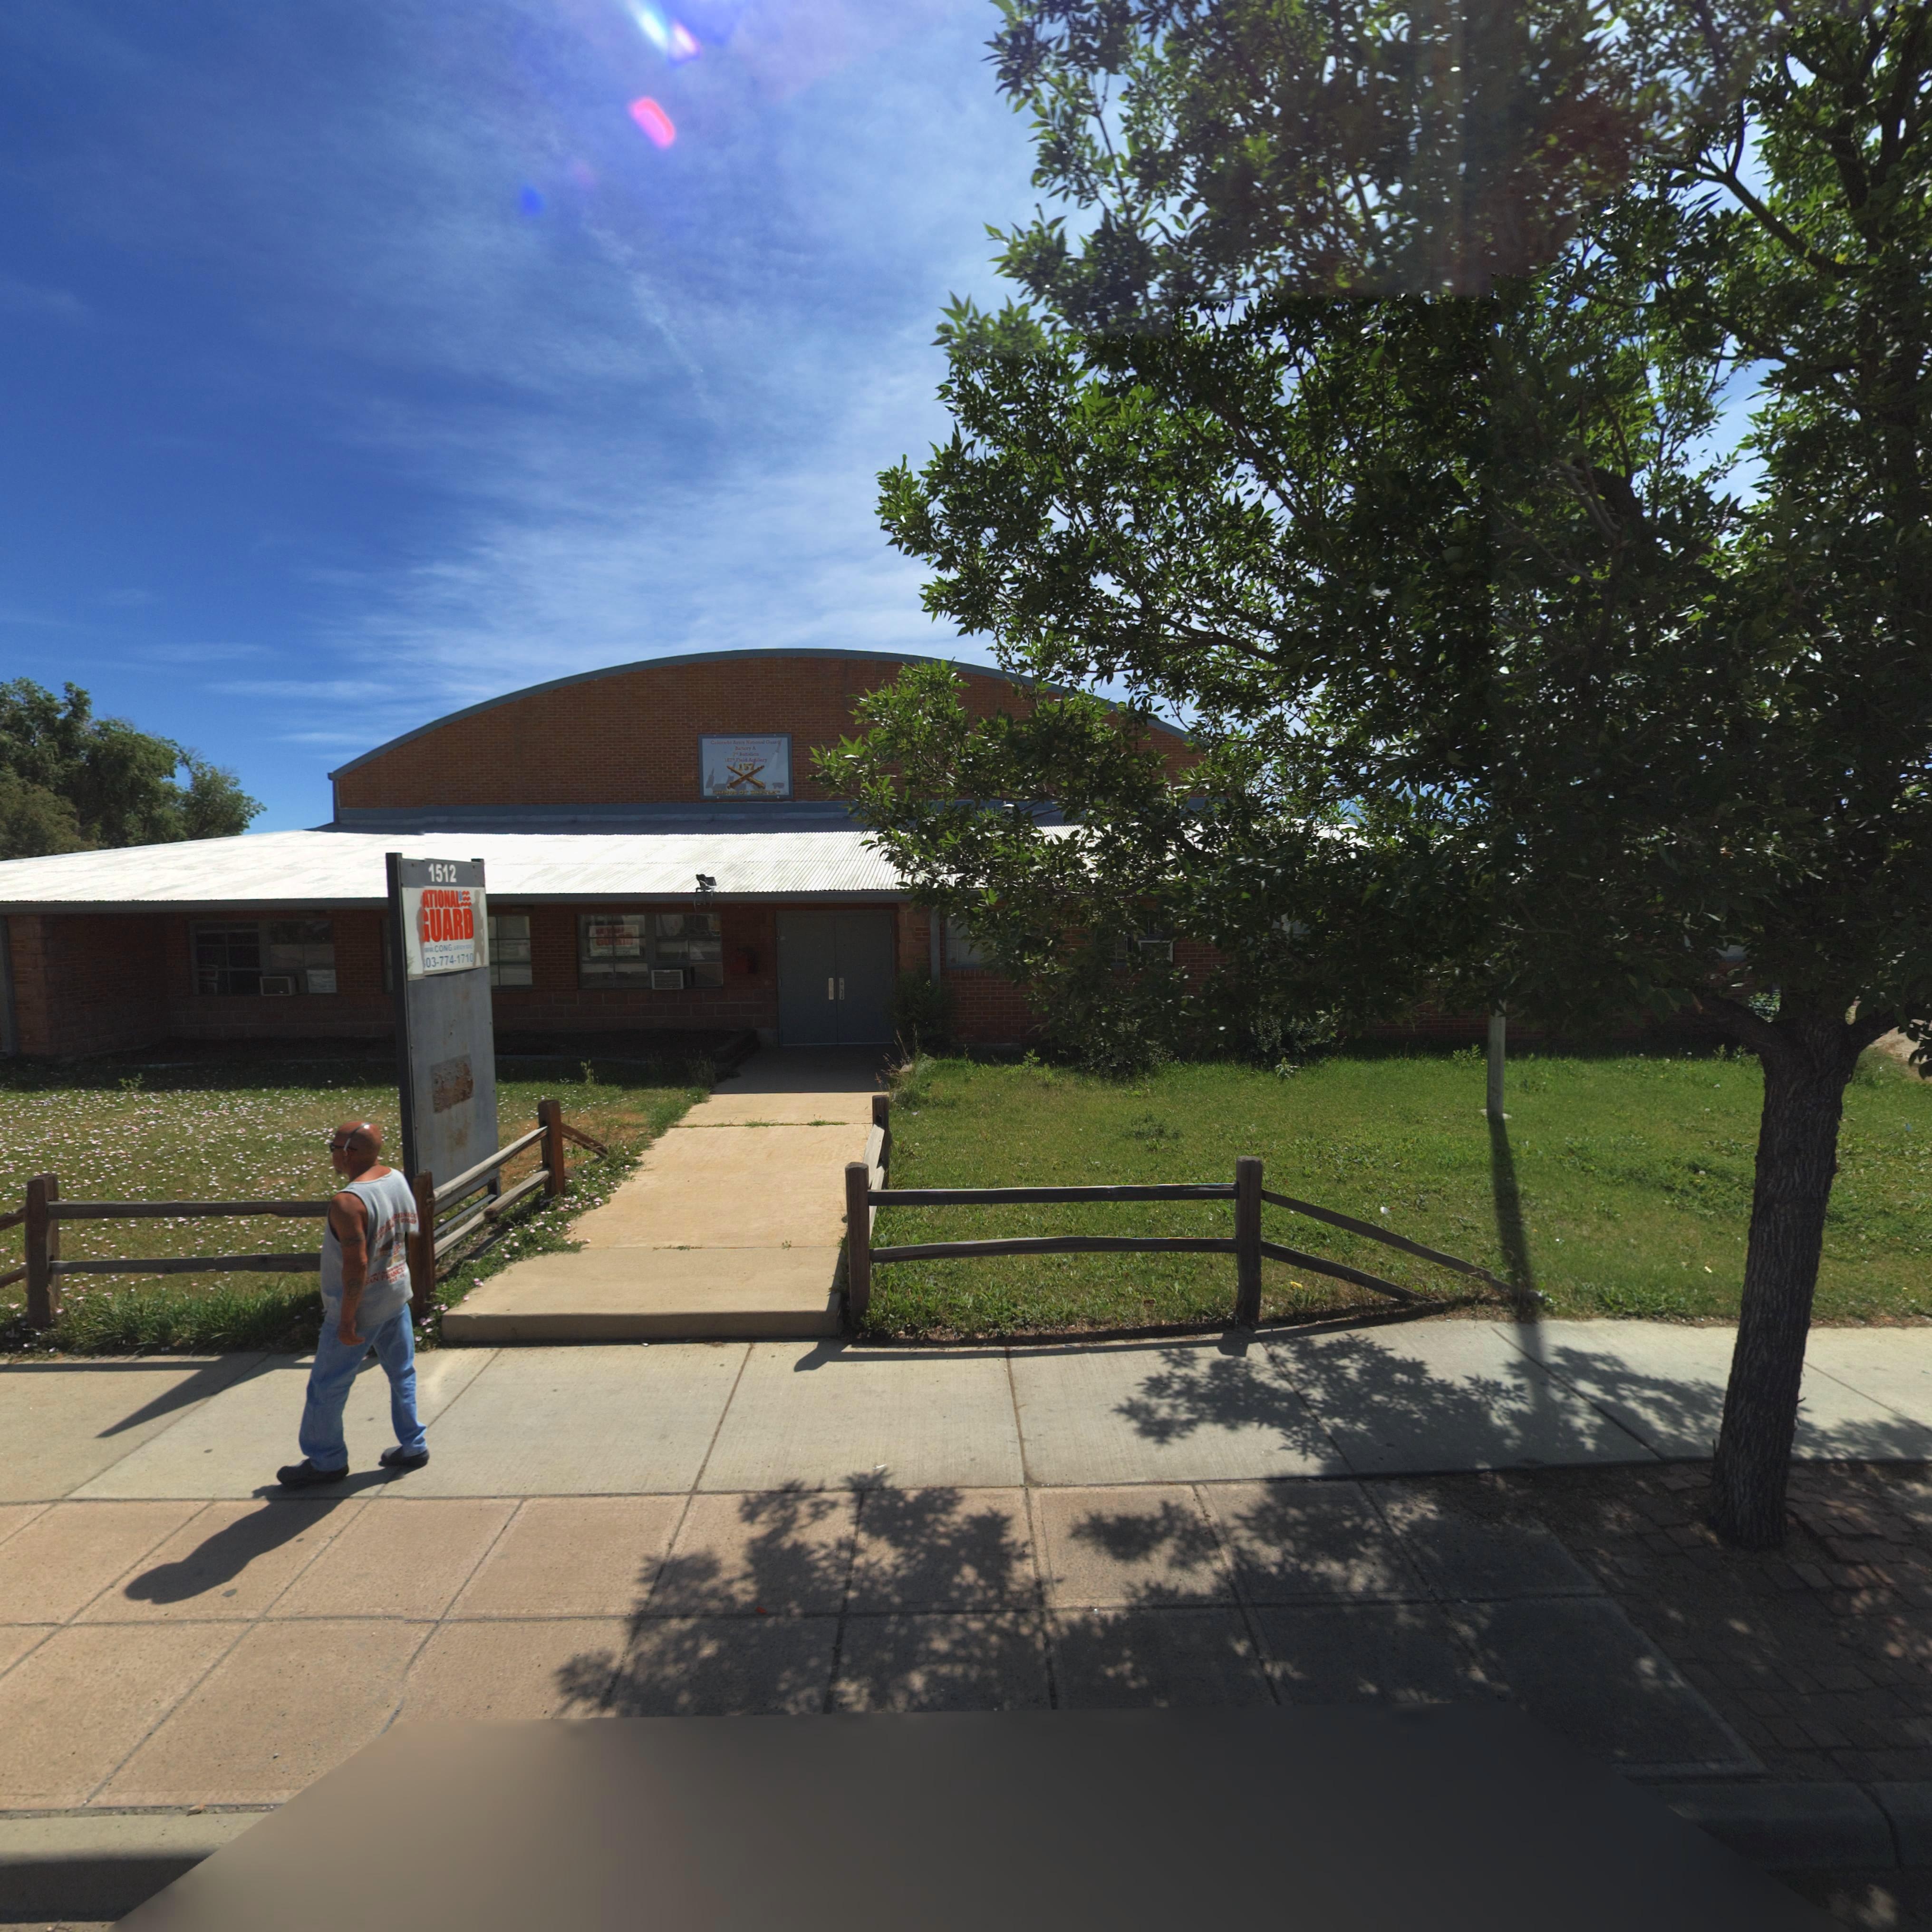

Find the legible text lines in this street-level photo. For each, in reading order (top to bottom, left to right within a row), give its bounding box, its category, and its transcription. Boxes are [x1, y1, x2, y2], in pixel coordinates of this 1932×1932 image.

[710, 739, 780, 745] BusinessName: Colo**do Ar*y Nation*l Gu**d
[427, 863, 457, 882] StreetNumber: 1512
[422, 889, 461, 909] BusinessName: ATIONAL
[415, 908, 474, 944] BusinessName: *UARD